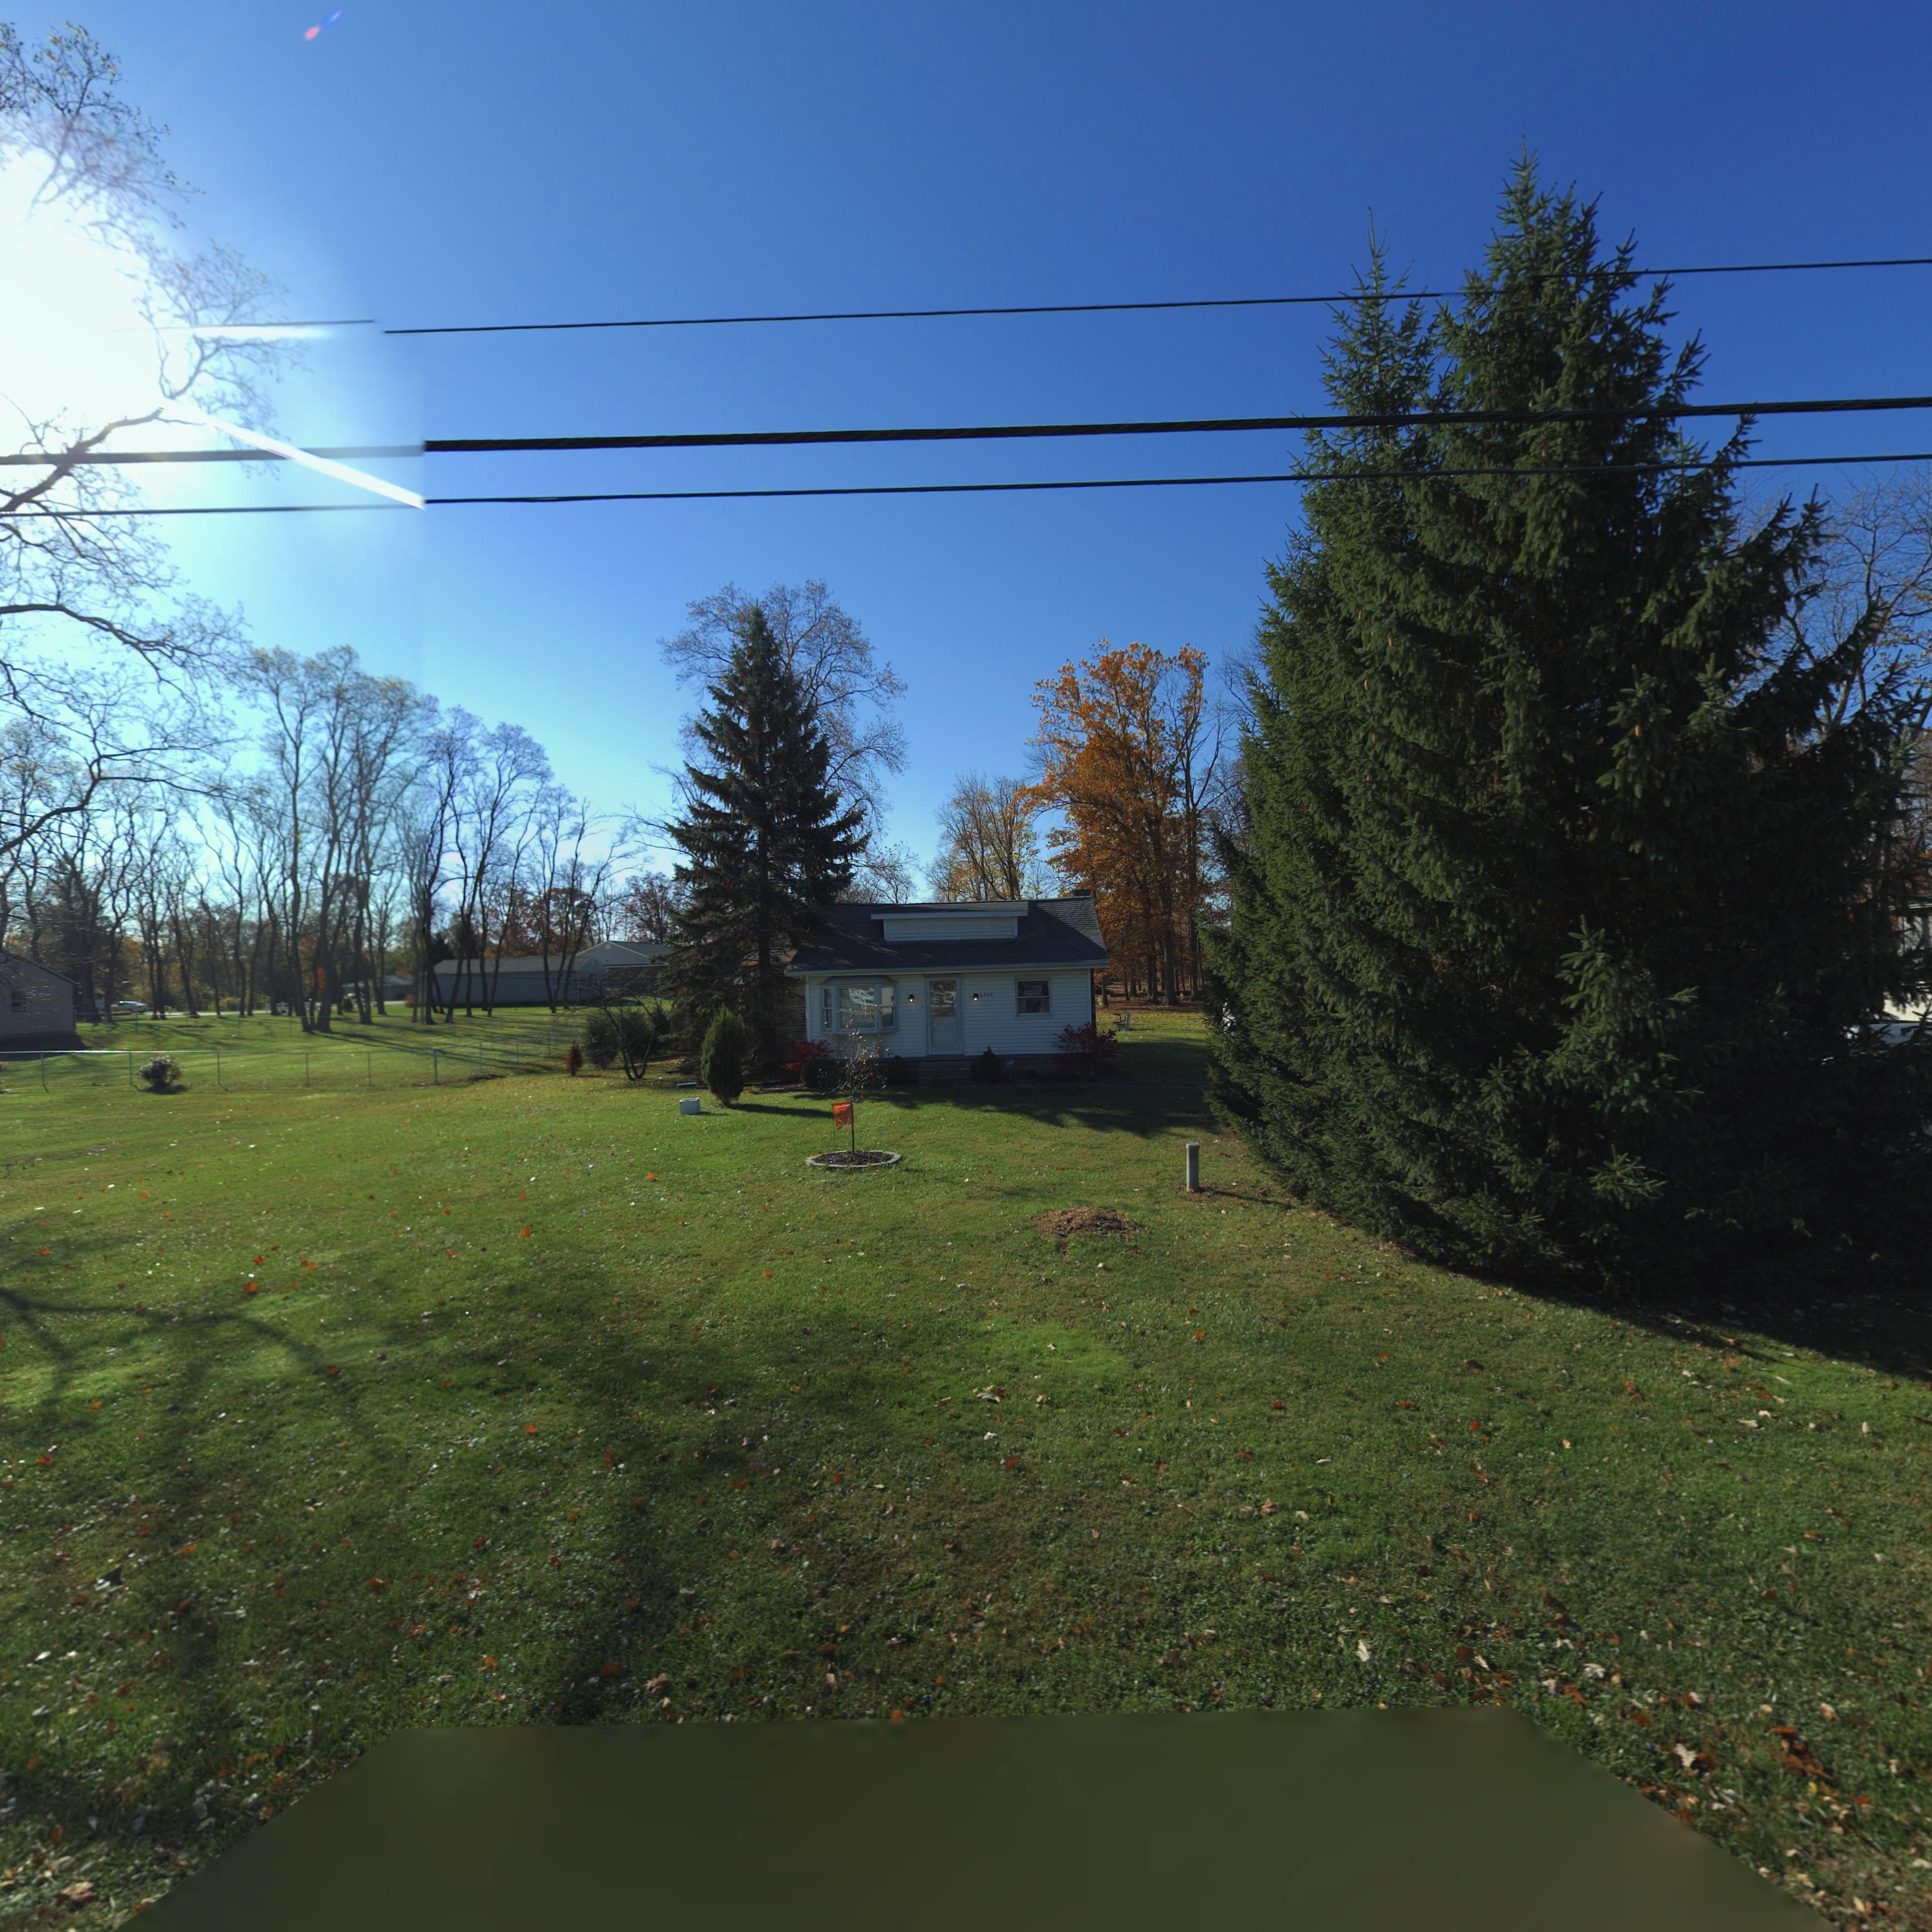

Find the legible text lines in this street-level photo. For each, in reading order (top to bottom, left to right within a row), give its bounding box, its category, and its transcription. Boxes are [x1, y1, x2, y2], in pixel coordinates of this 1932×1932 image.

[978, 992, 994, 999] StreetNumber: 6990